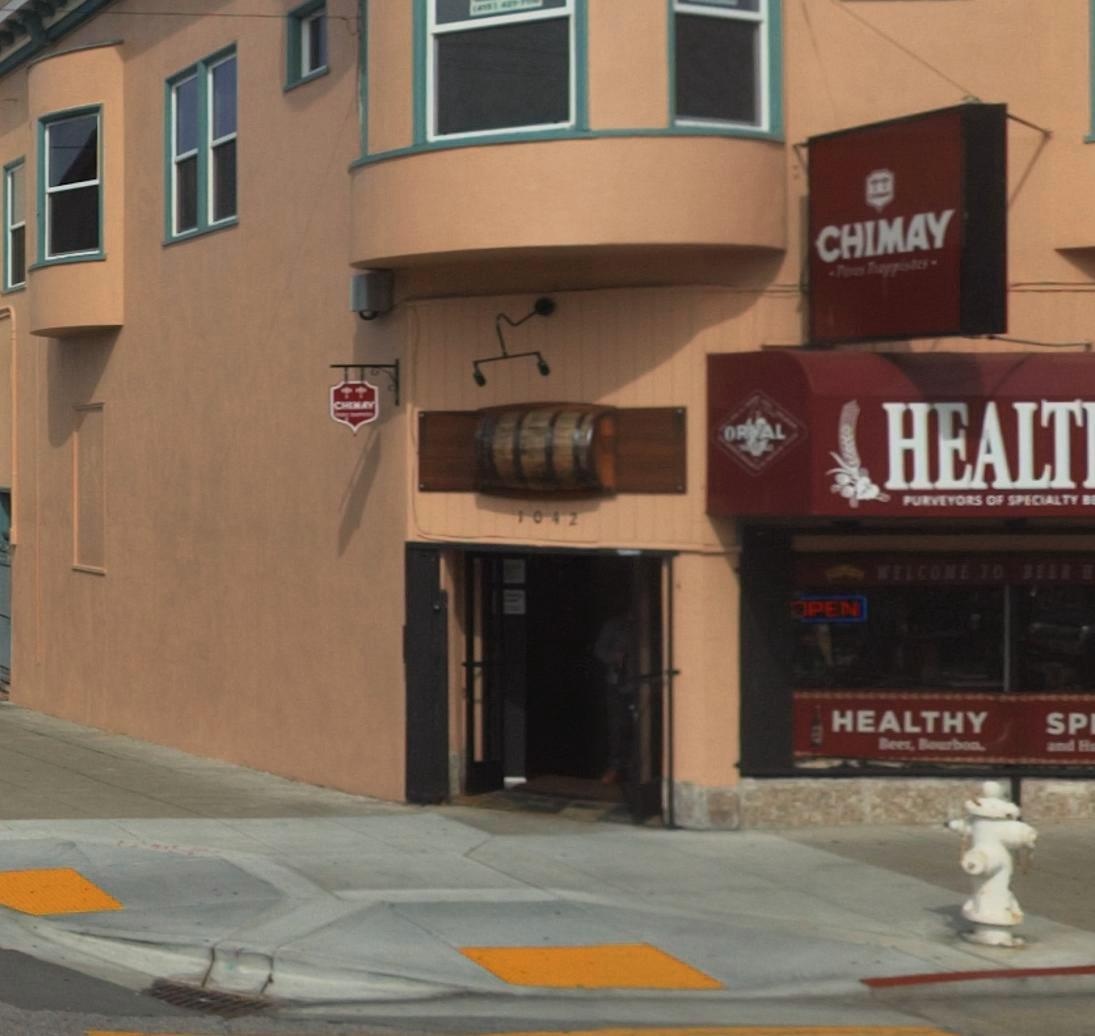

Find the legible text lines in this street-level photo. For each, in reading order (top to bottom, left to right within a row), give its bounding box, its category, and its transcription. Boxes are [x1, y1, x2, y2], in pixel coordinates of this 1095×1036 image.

[813, 208, 957, 264] None: CHIMAY
[332, 400, 342, 410] None: C
[723, 423, 787, 443] None: OR*AL
[880, 398, 1085, 492] BusinessName: HEALT
[902, 494, 1080, 507] BusinessName: PURVEYORS OF SPECIALTY
[517, 509, 579, 527] StreetNumber: 1042
[875, 563, 1093, 581] None: WELCOME TO BEER B
[790, 600, 859, 619] None: OPEN
[831, 709, 1090, 736] BusinessName: HAELTHY SP
[877, 736, 987, 752] None: Beer. Bourbon
[1045, 739, 1091, 752] None: and H